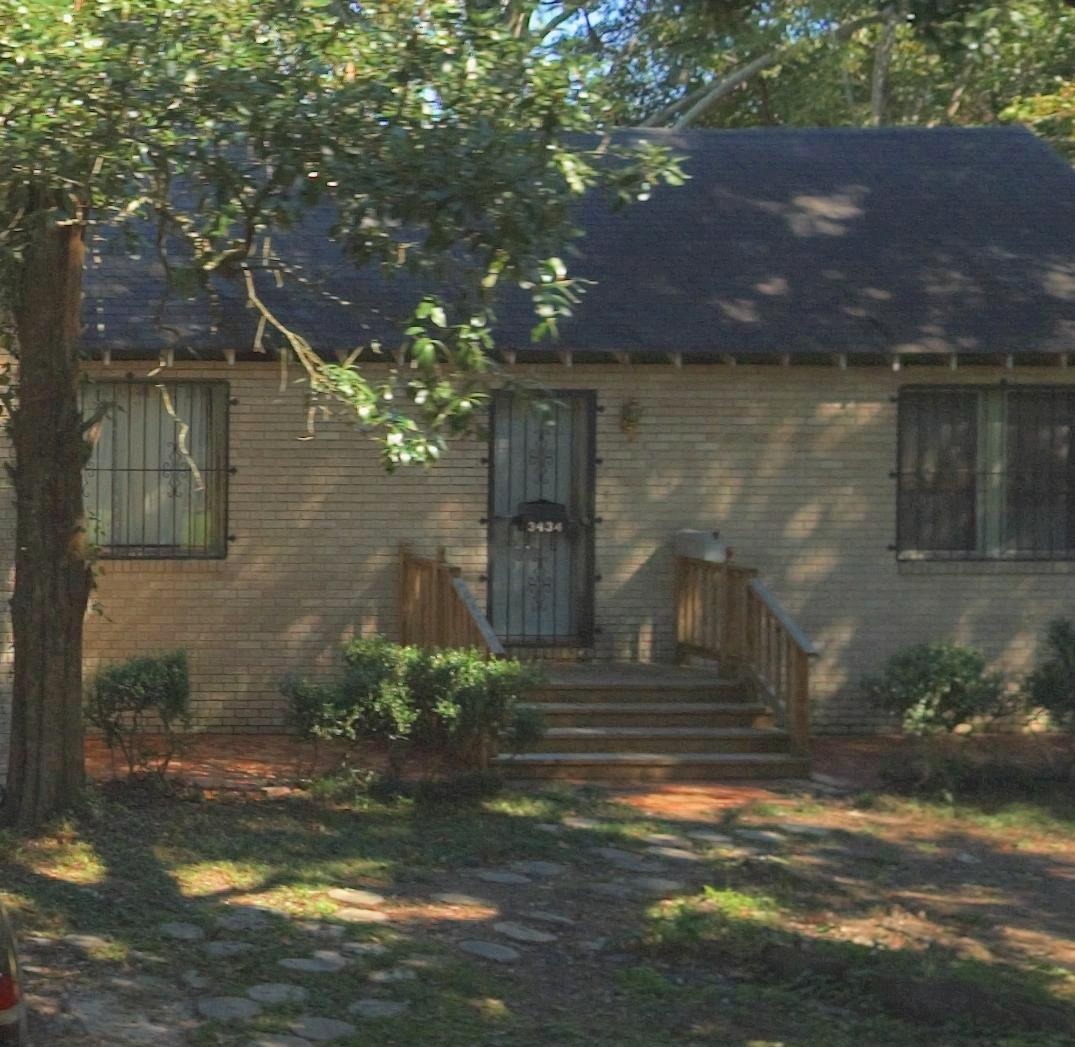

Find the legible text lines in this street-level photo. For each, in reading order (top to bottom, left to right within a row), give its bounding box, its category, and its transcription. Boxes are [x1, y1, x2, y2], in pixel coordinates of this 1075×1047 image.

[525, 520, 566, 535] StreetNumber: 3434